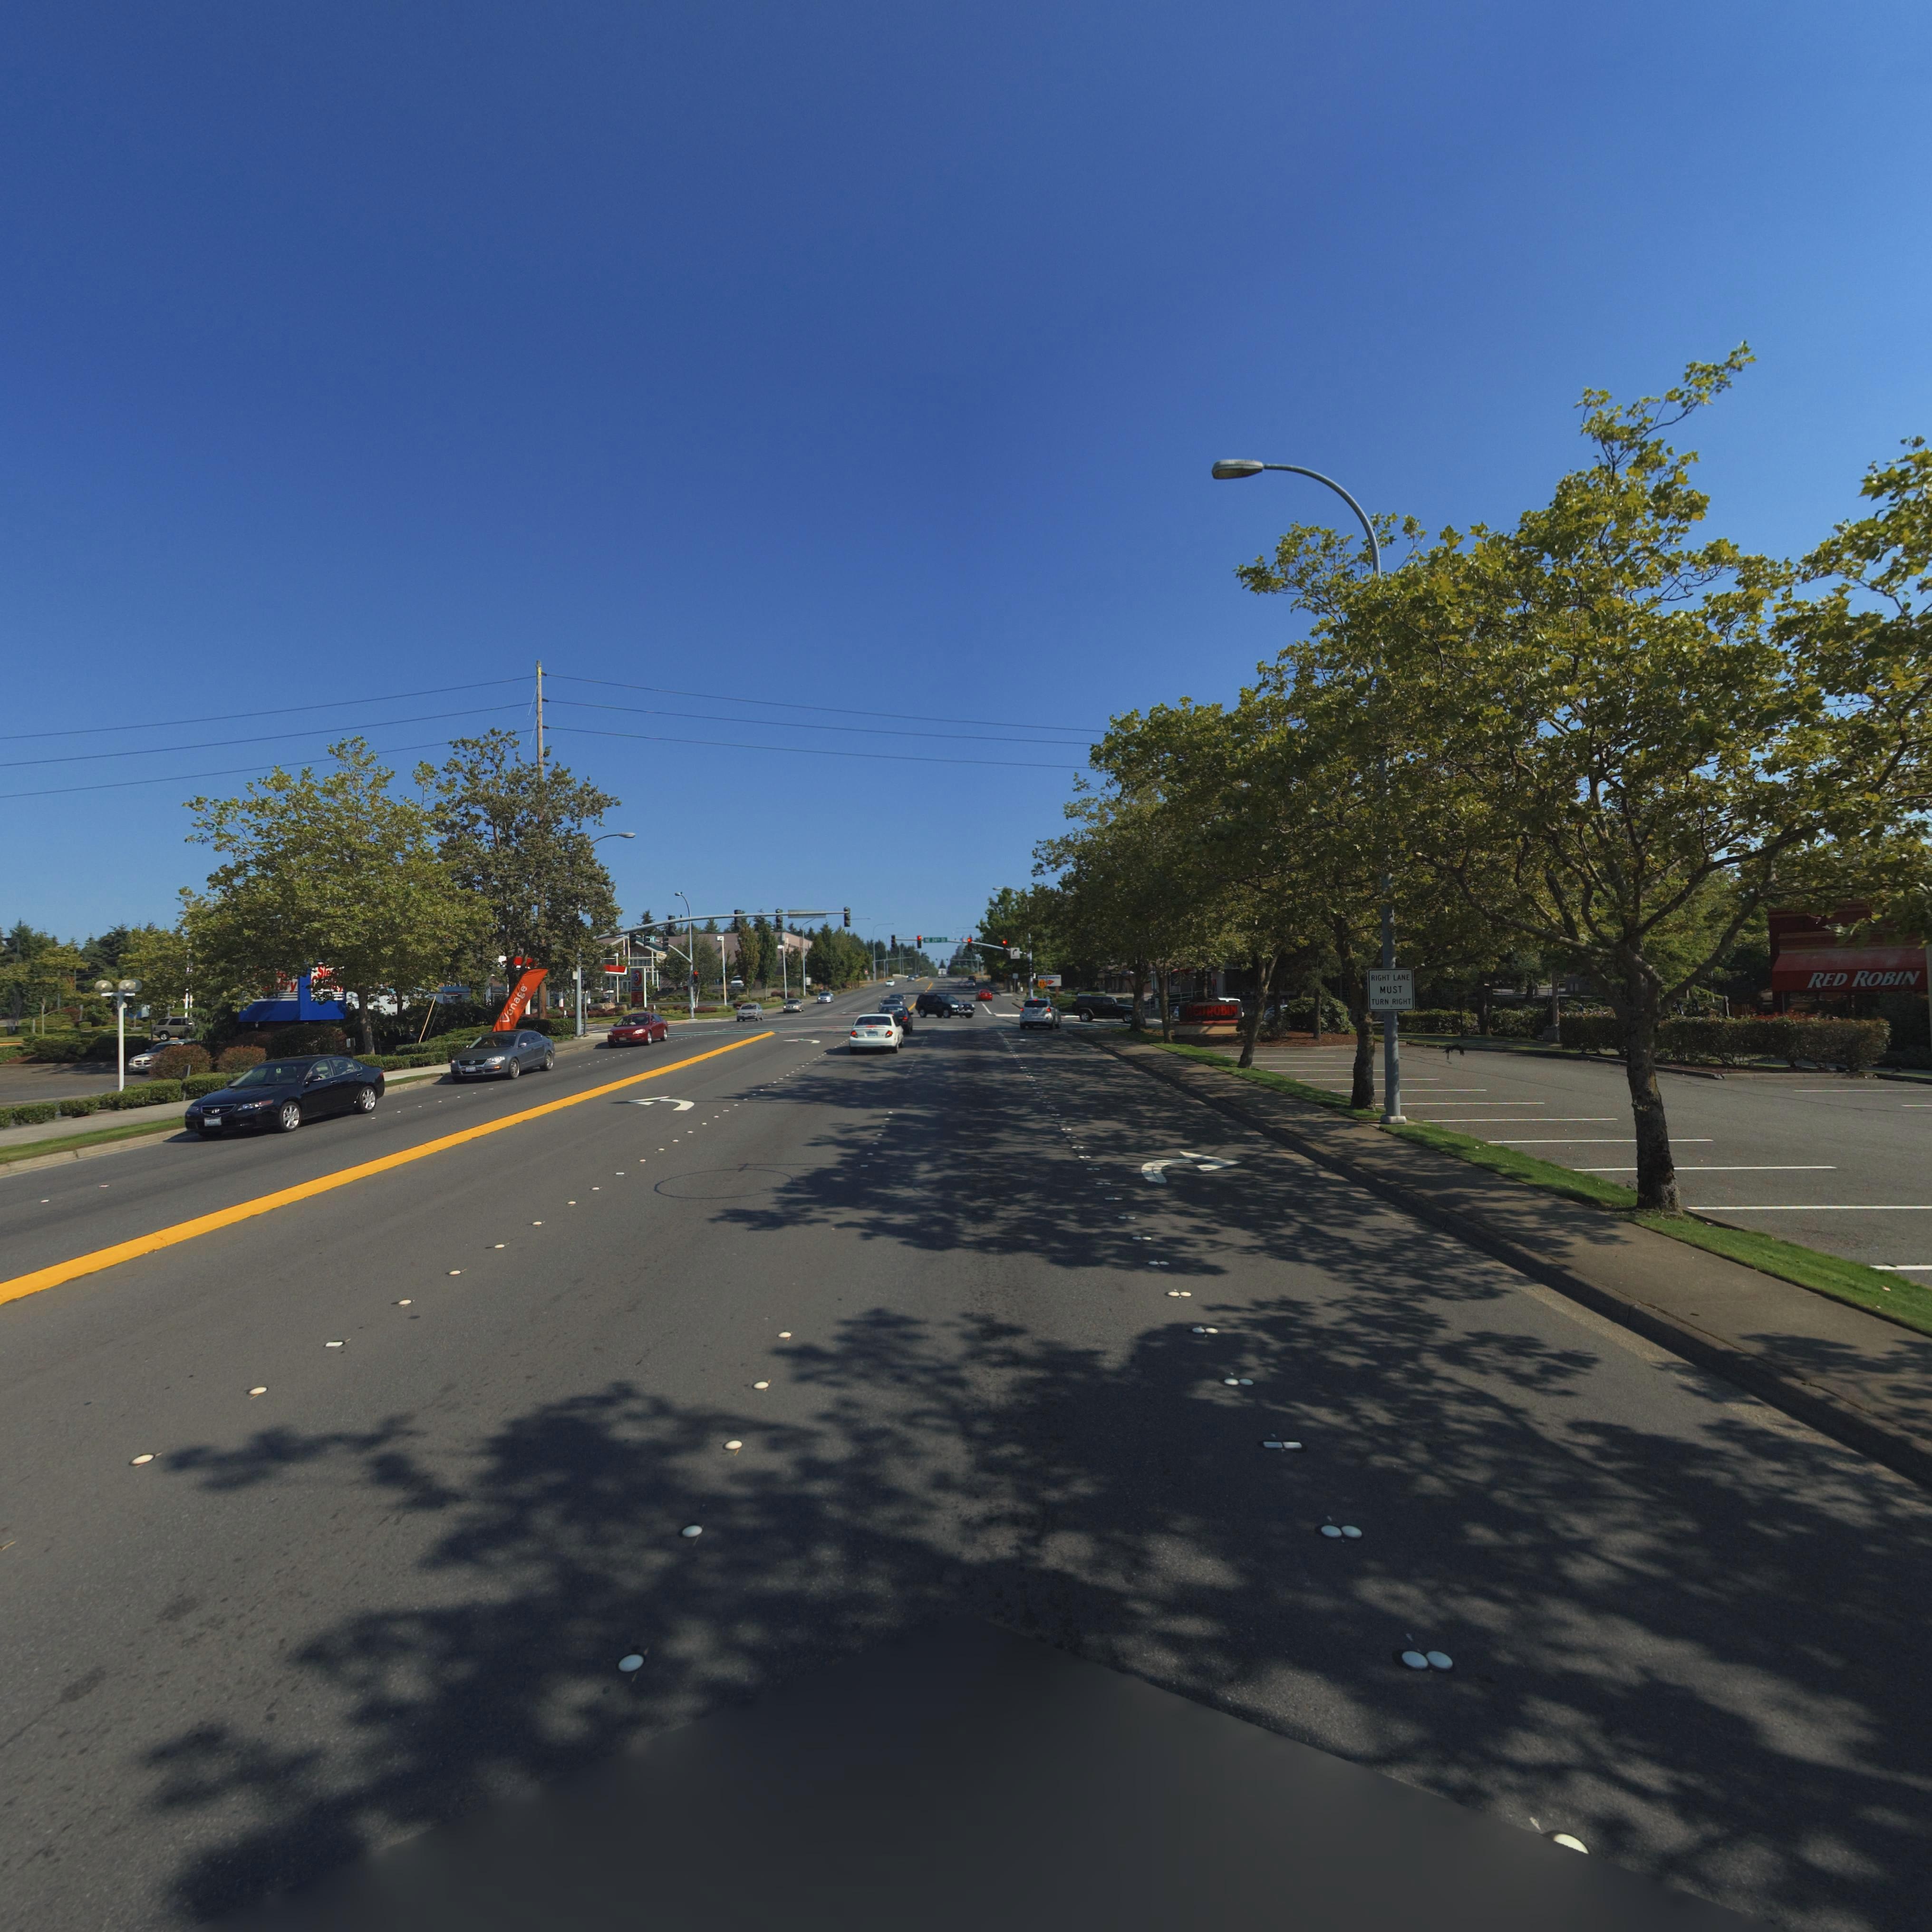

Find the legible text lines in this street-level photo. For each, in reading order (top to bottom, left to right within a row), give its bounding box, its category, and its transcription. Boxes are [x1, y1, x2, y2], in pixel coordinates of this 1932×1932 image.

[317, 963, 331, 978] BusinessName: Sl*
[632, 973, 638, 982] BusinessName: *6
[1806, 970, 1920, 988] BusinessName: RED ROBIN
[499, 985, 527, 1024] BusinessName: Vonage
[1186, 1005, 1237, 1017] BusinessName: ***R0BIN